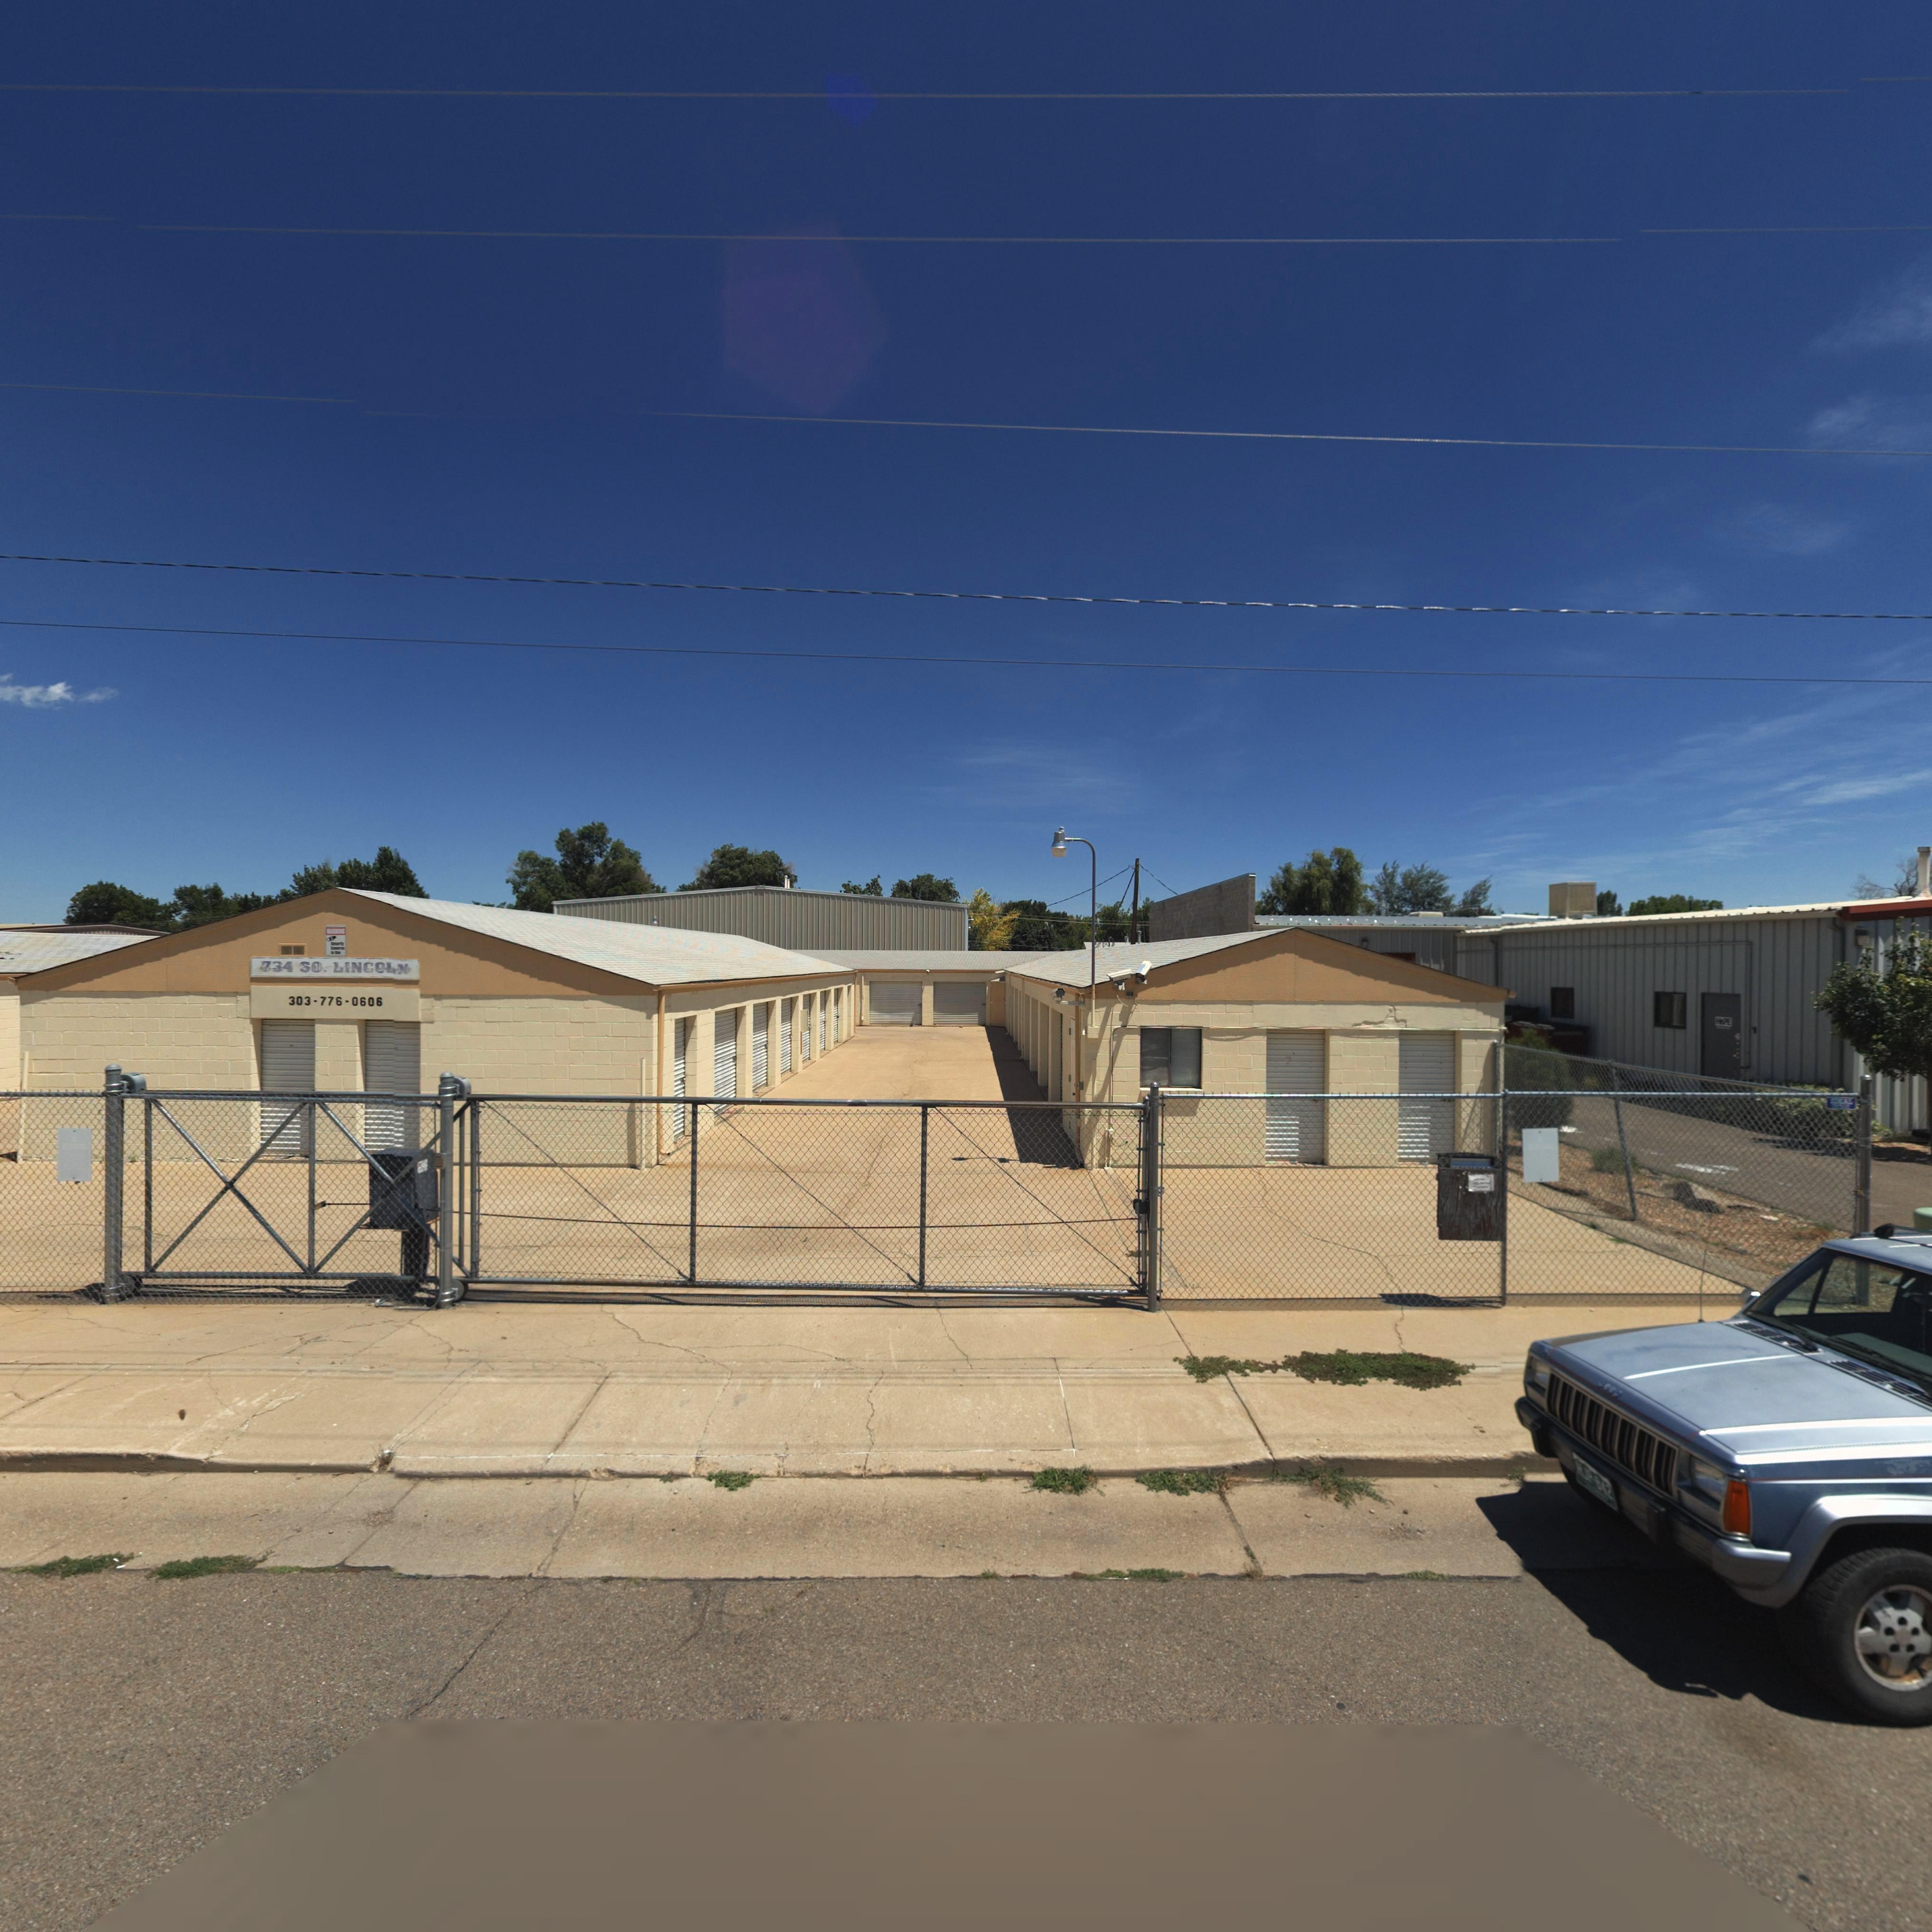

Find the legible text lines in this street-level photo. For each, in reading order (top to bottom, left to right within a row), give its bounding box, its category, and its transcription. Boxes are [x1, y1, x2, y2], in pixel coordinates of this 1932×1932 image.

[261, 960, 293, 972] StreetNumber: 734
[299, 961, 408, 975] StreetName: SO. LINCOLN